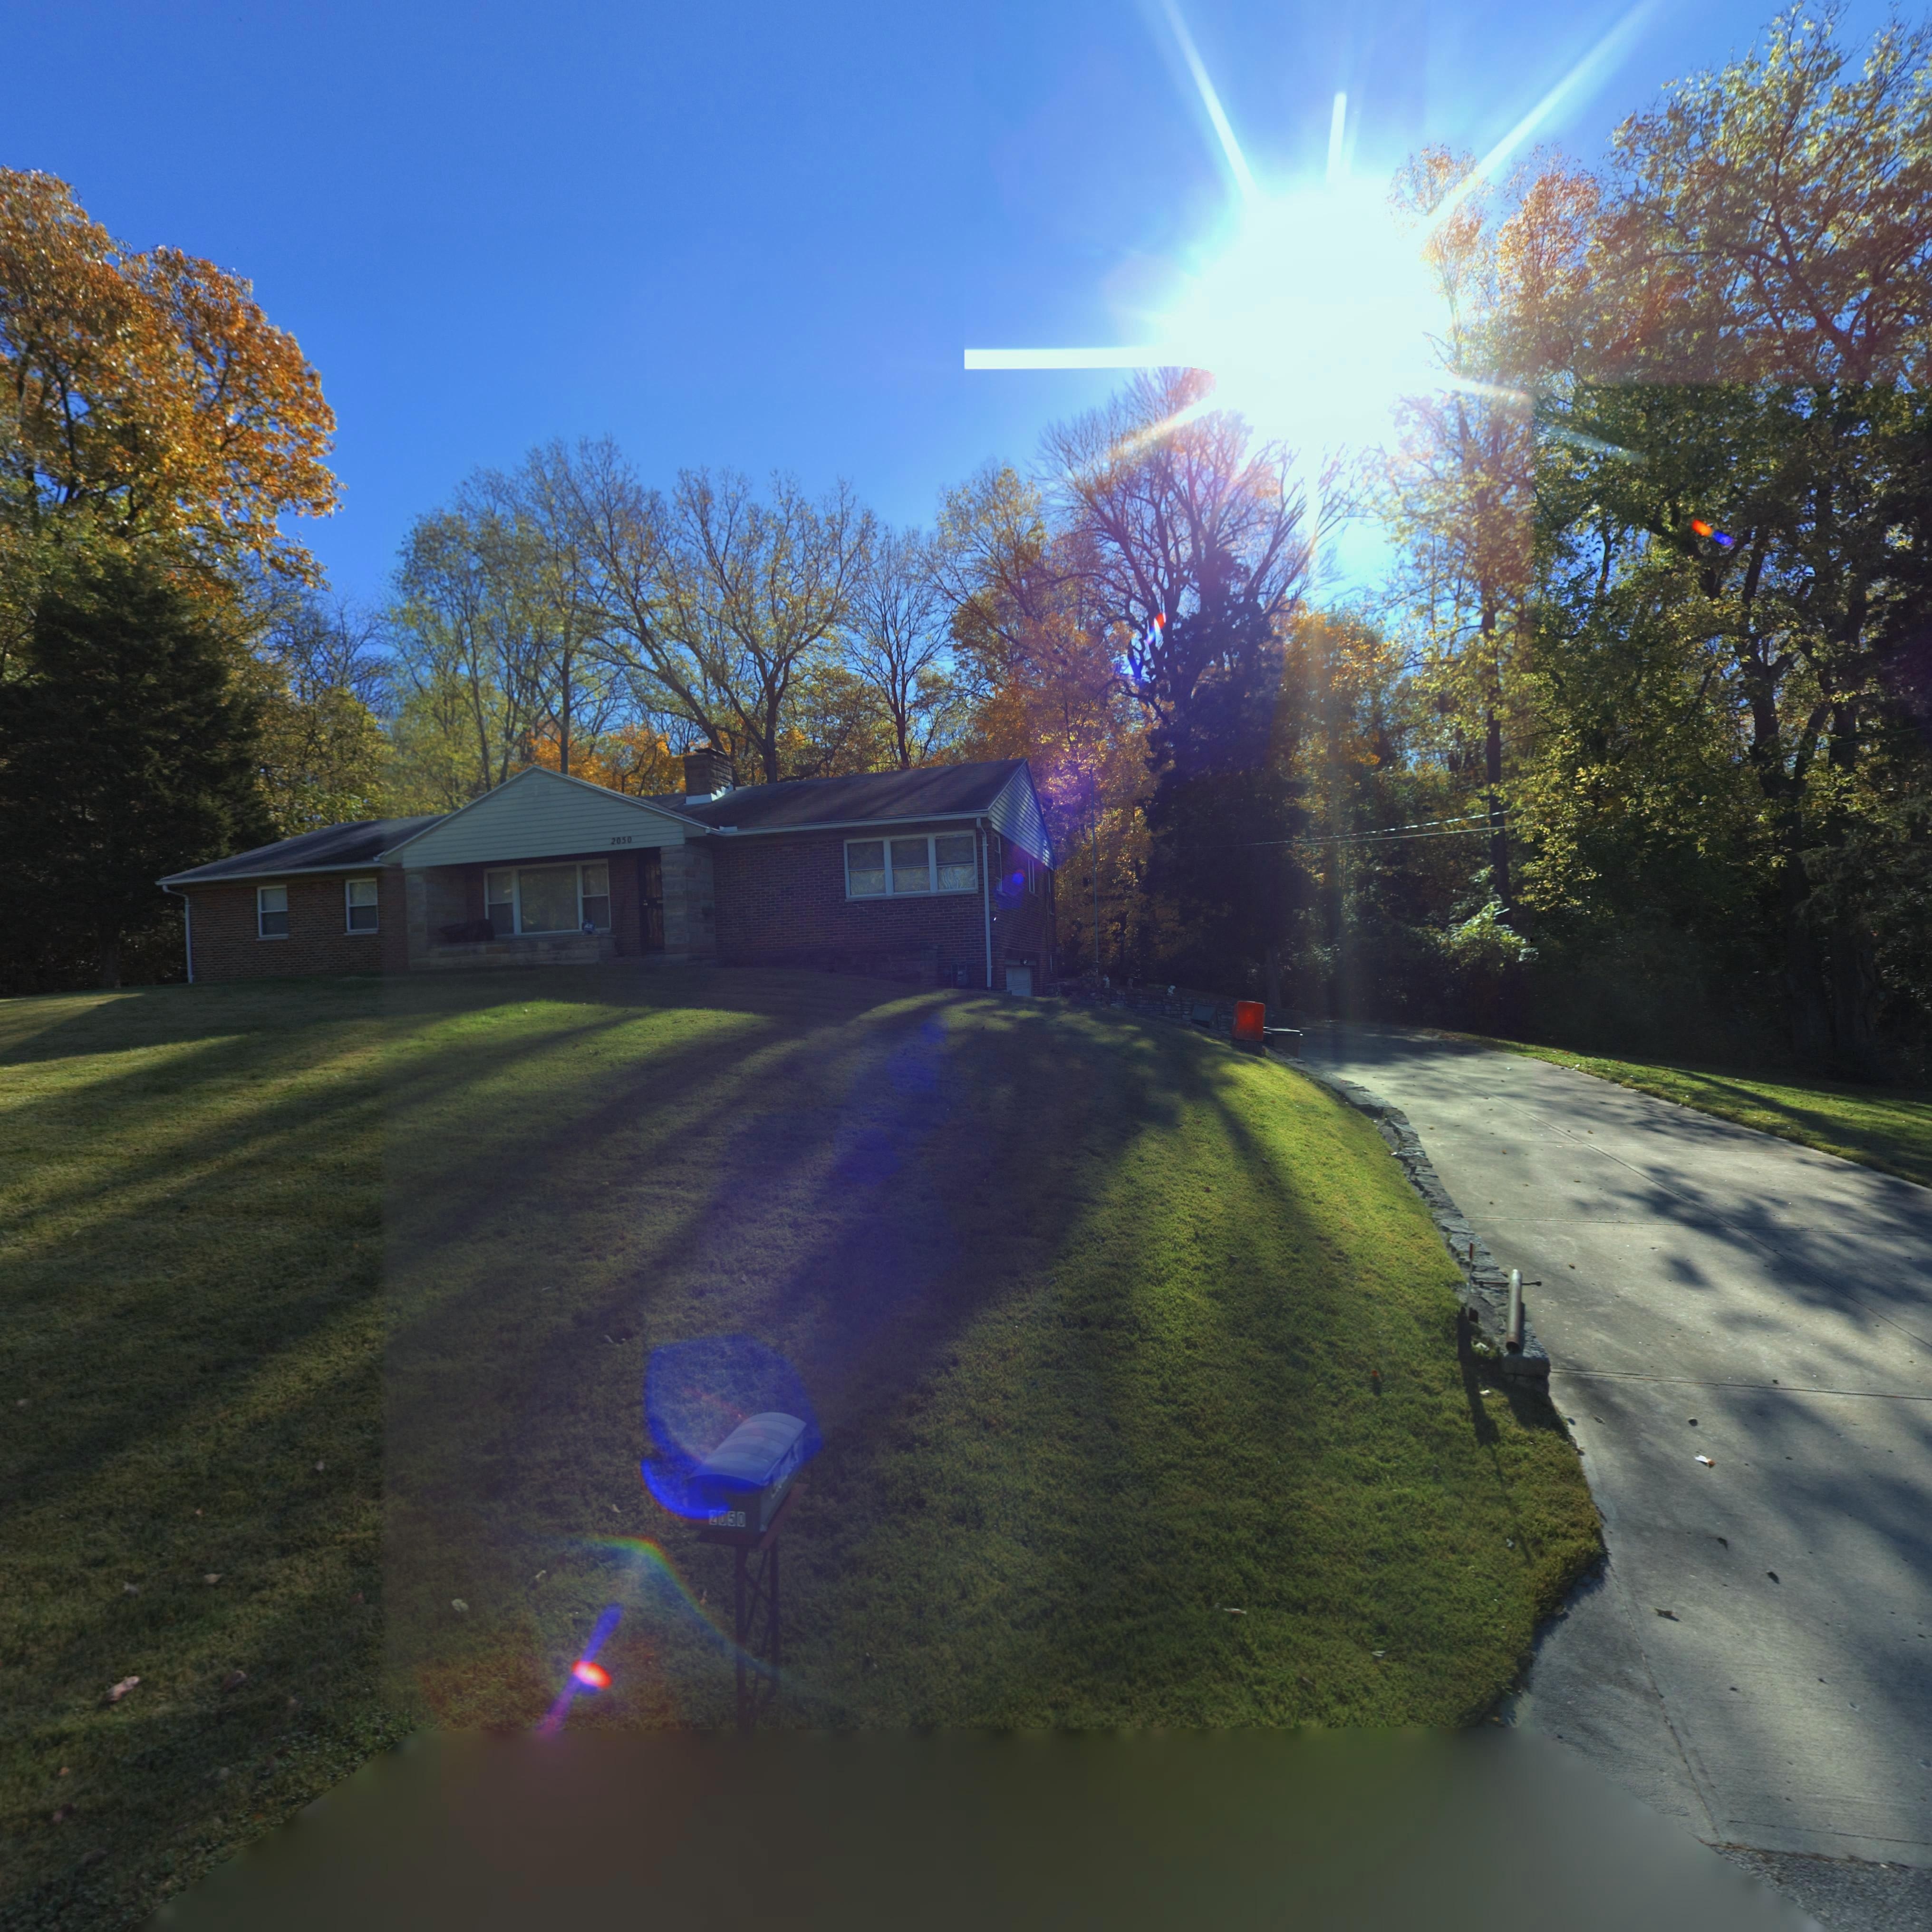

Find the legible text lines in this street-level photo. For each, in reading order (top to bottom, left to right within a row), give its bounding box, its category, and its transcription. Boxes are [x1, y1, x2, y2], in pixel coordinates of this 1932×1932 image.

[610, 835, 632, 845] StreetNumber: 2050
[709, 1509, 746, 1527] StreetNumber: 2050